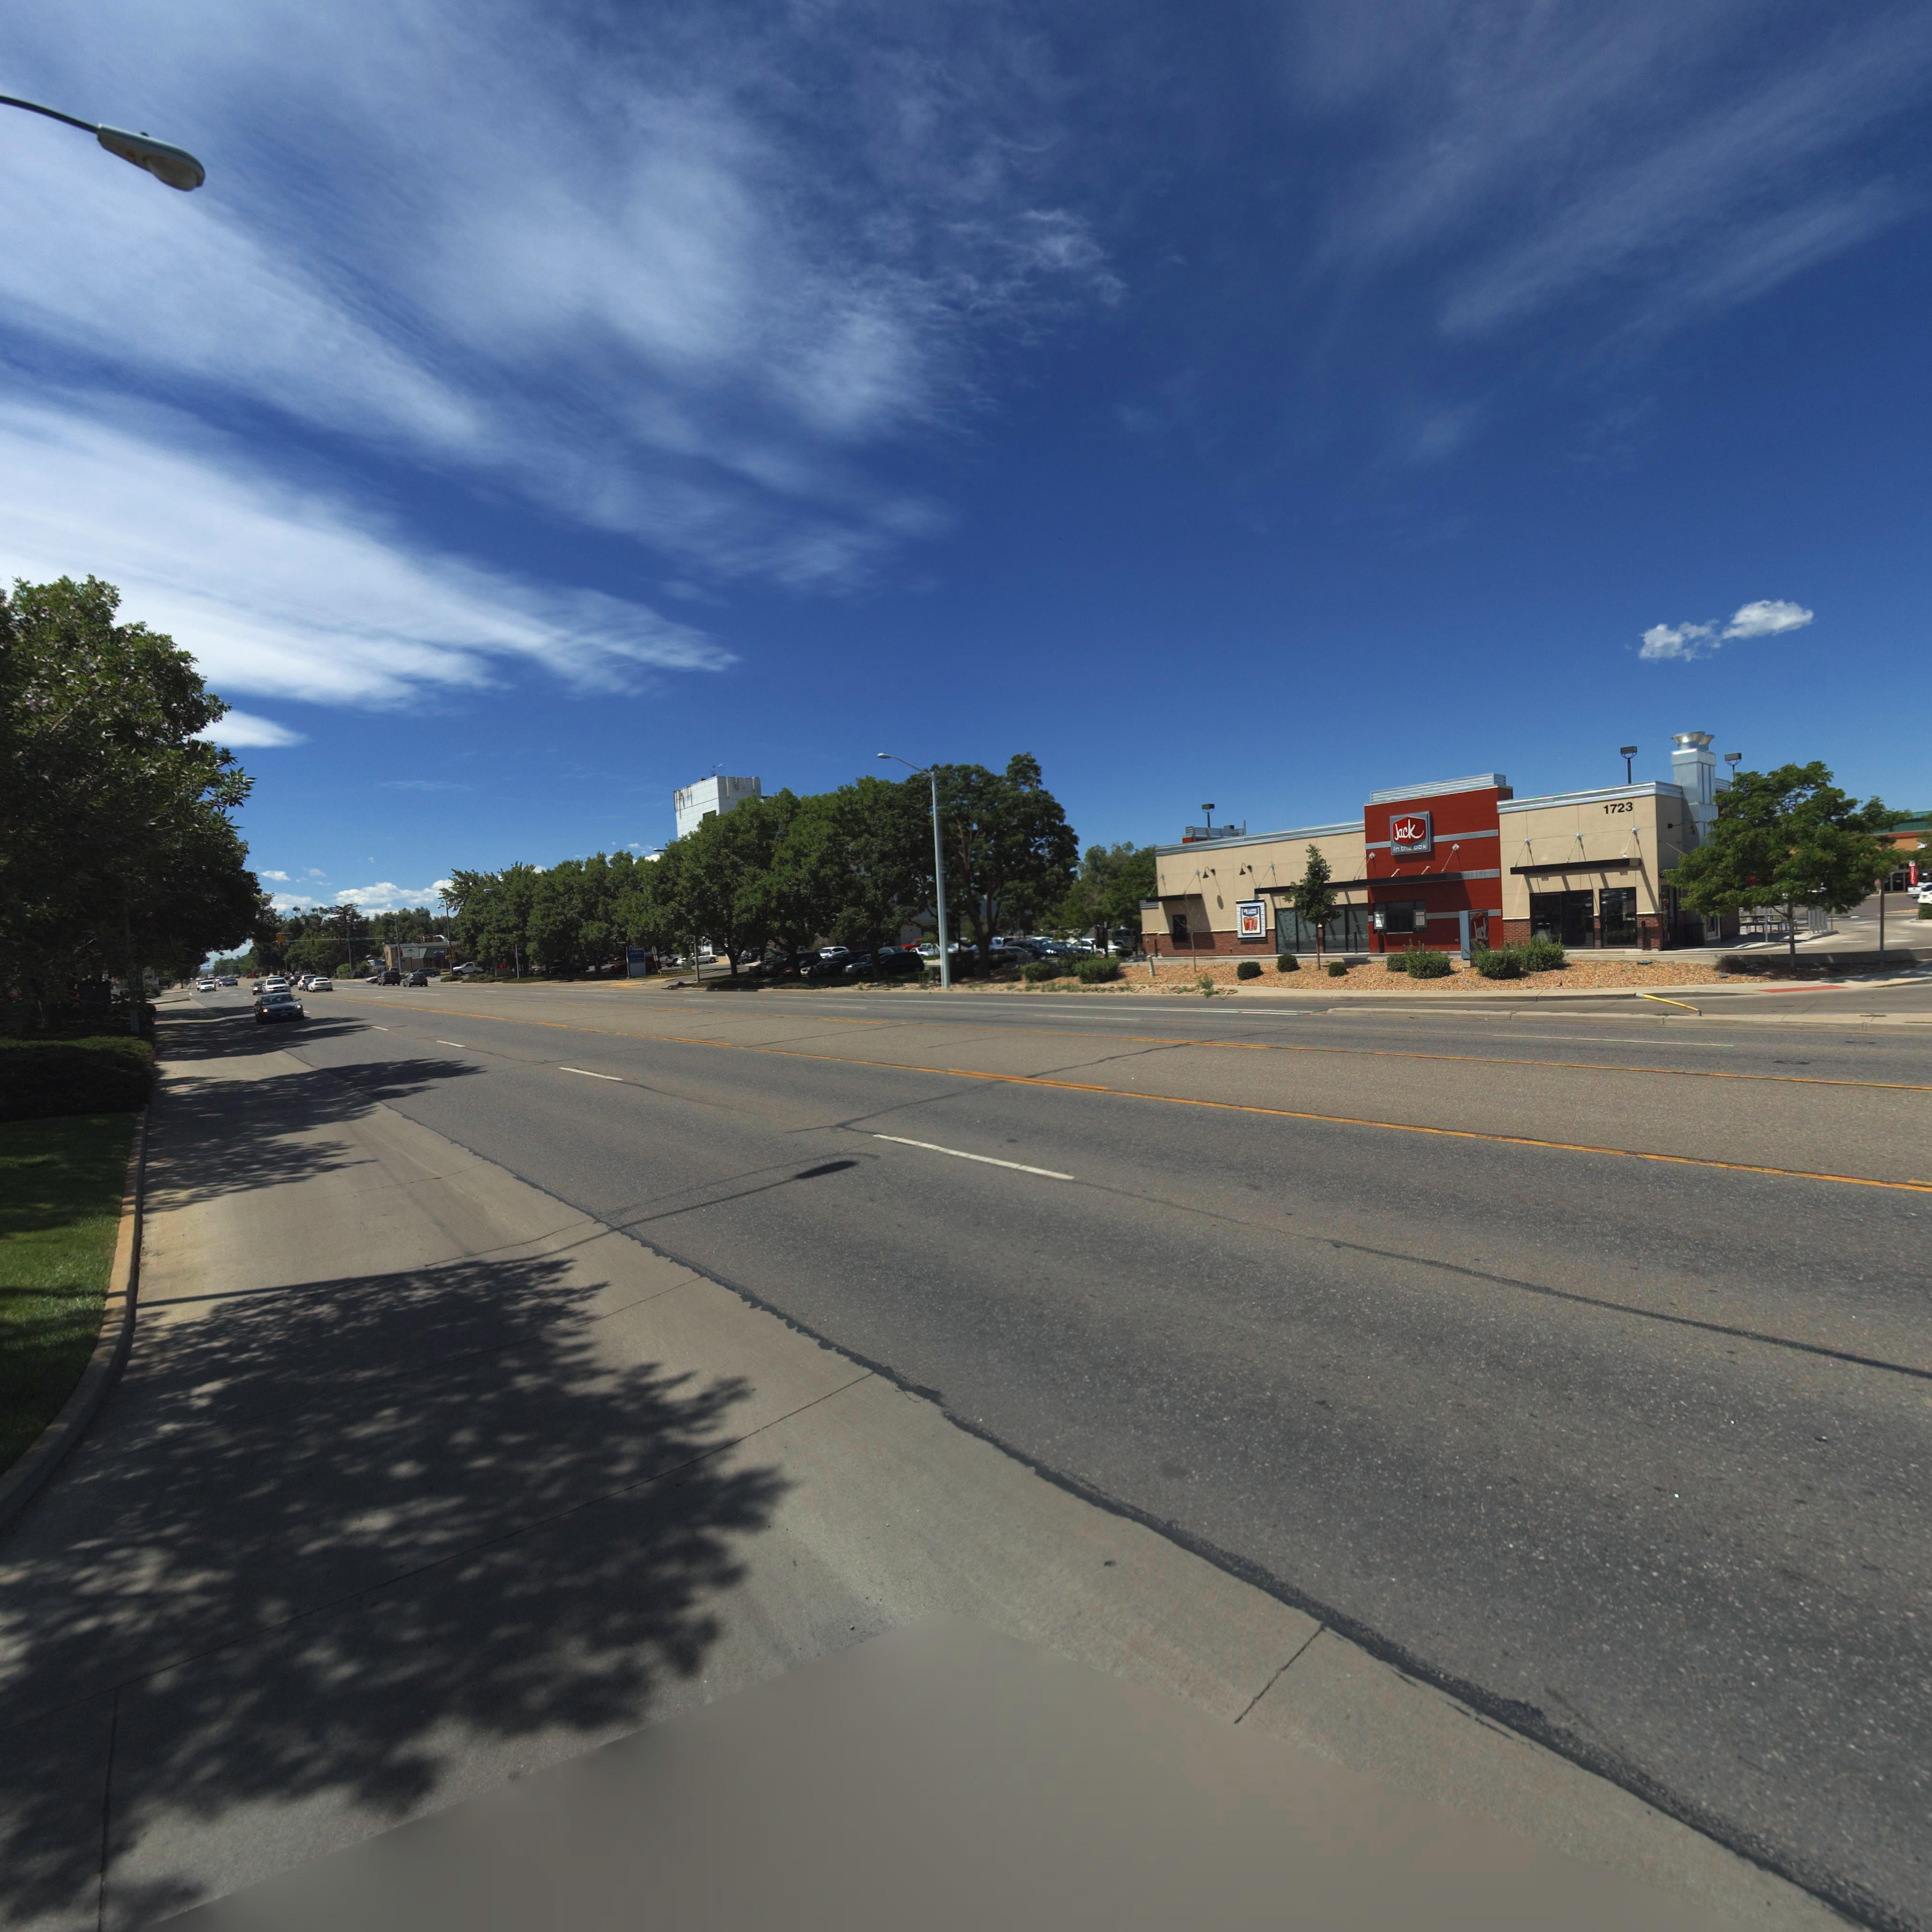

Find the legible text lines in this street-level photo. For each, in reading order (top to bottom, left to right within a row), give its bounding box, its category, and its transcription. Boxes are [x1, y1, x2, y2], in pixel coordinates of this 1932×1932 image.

[1603, 801, 1633, 814] StreetNumber: 1723
[1394, 819, 1424, 840] BusinessName: Jack
[1393, 844, 1427, 852] BusinessName: *n the *ox
[1471, 917, 1489, 941] BusinessName: *ack
[628, 947, 643, 951] BusinessName: 1S**A**